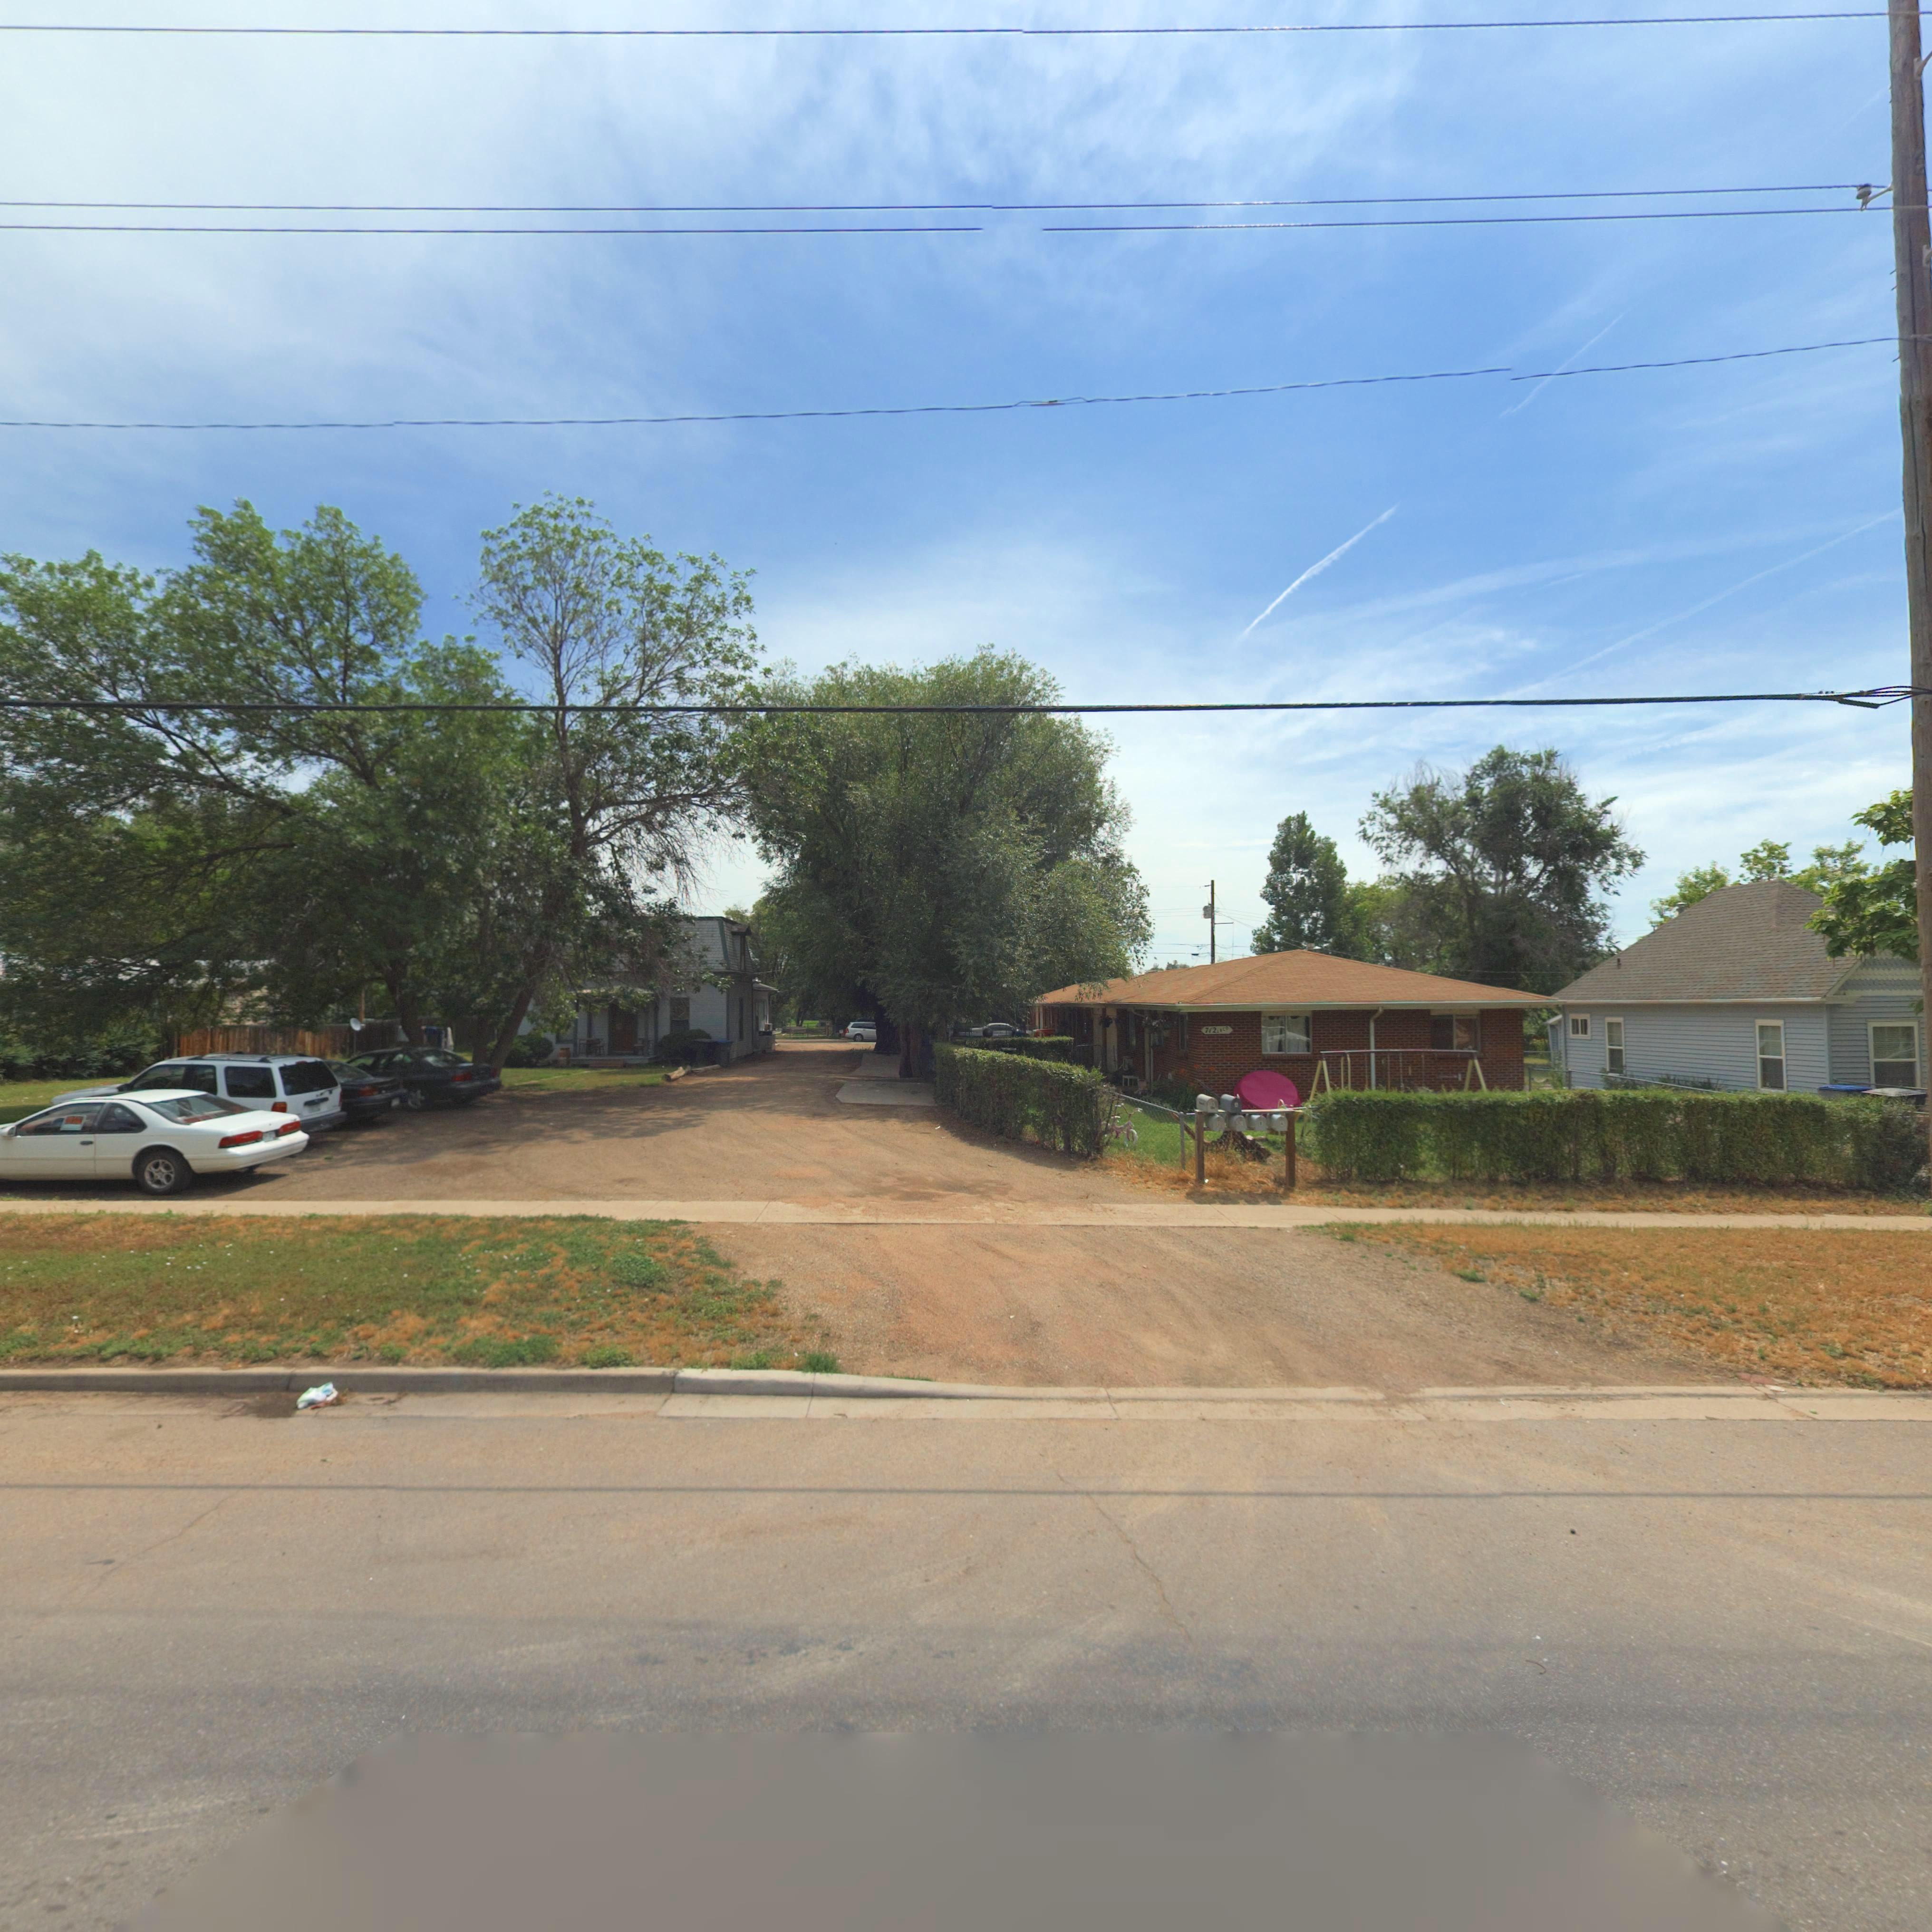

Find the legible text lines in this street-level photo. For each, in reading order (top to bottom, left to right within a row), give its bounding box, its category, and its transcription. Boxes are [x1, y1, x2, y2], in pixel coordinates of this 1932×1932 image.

[1205, 1027, 1216, 1033] StreetNumber: 712